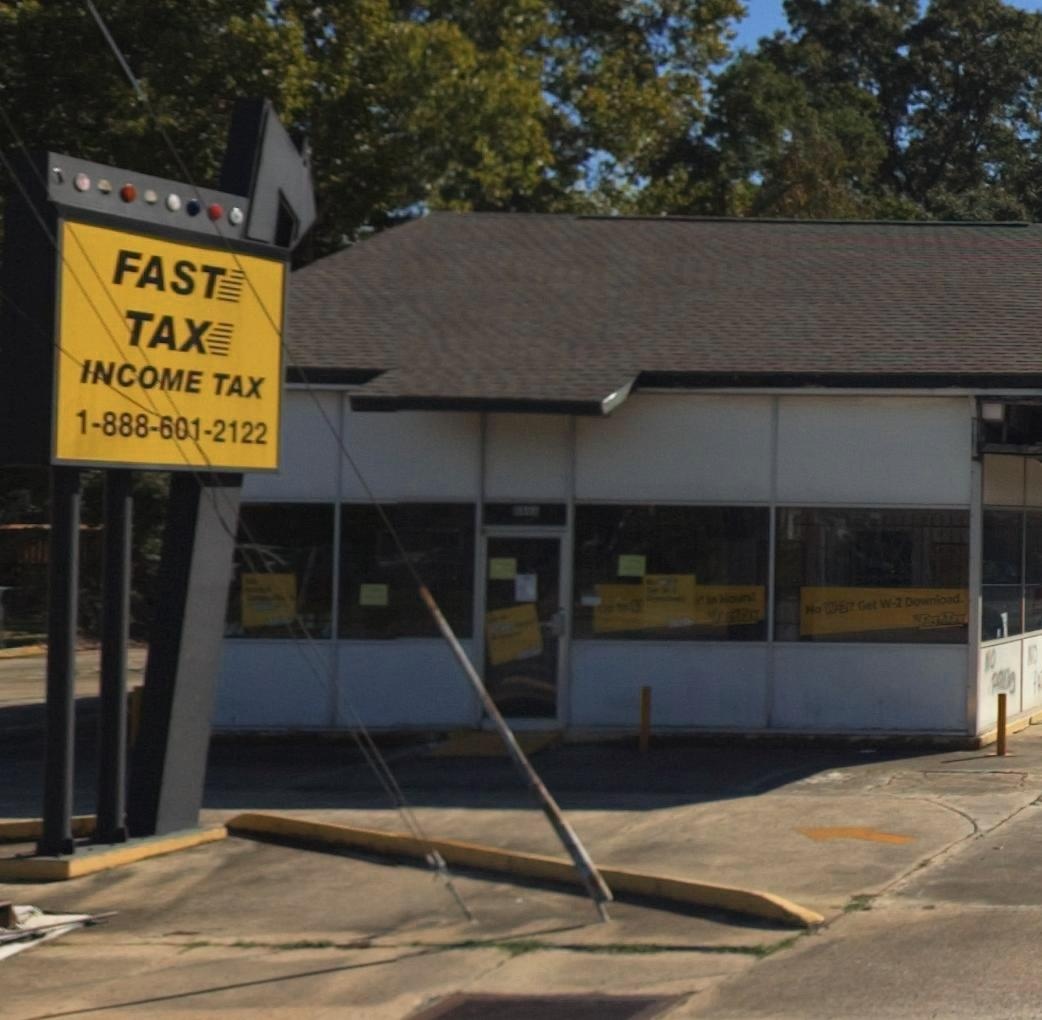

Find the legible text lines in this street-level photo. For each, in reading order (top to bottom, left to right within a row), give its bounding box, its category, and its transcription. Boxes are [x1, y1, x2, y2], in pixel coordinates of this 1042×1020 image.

[108, 244, 234, 304] BusinessName: FAST
[123, 306, 219, 359] BusinessName: TAX
[76, 356, 271, 403] None: INCOME TAX
[72, 405, 270, 448] None: 1-888-601-2122
[800, 590, 966, 618] None: No W-2? Get W-2 Download.
[918, 608, 967, 630] BusinessName: FastTax